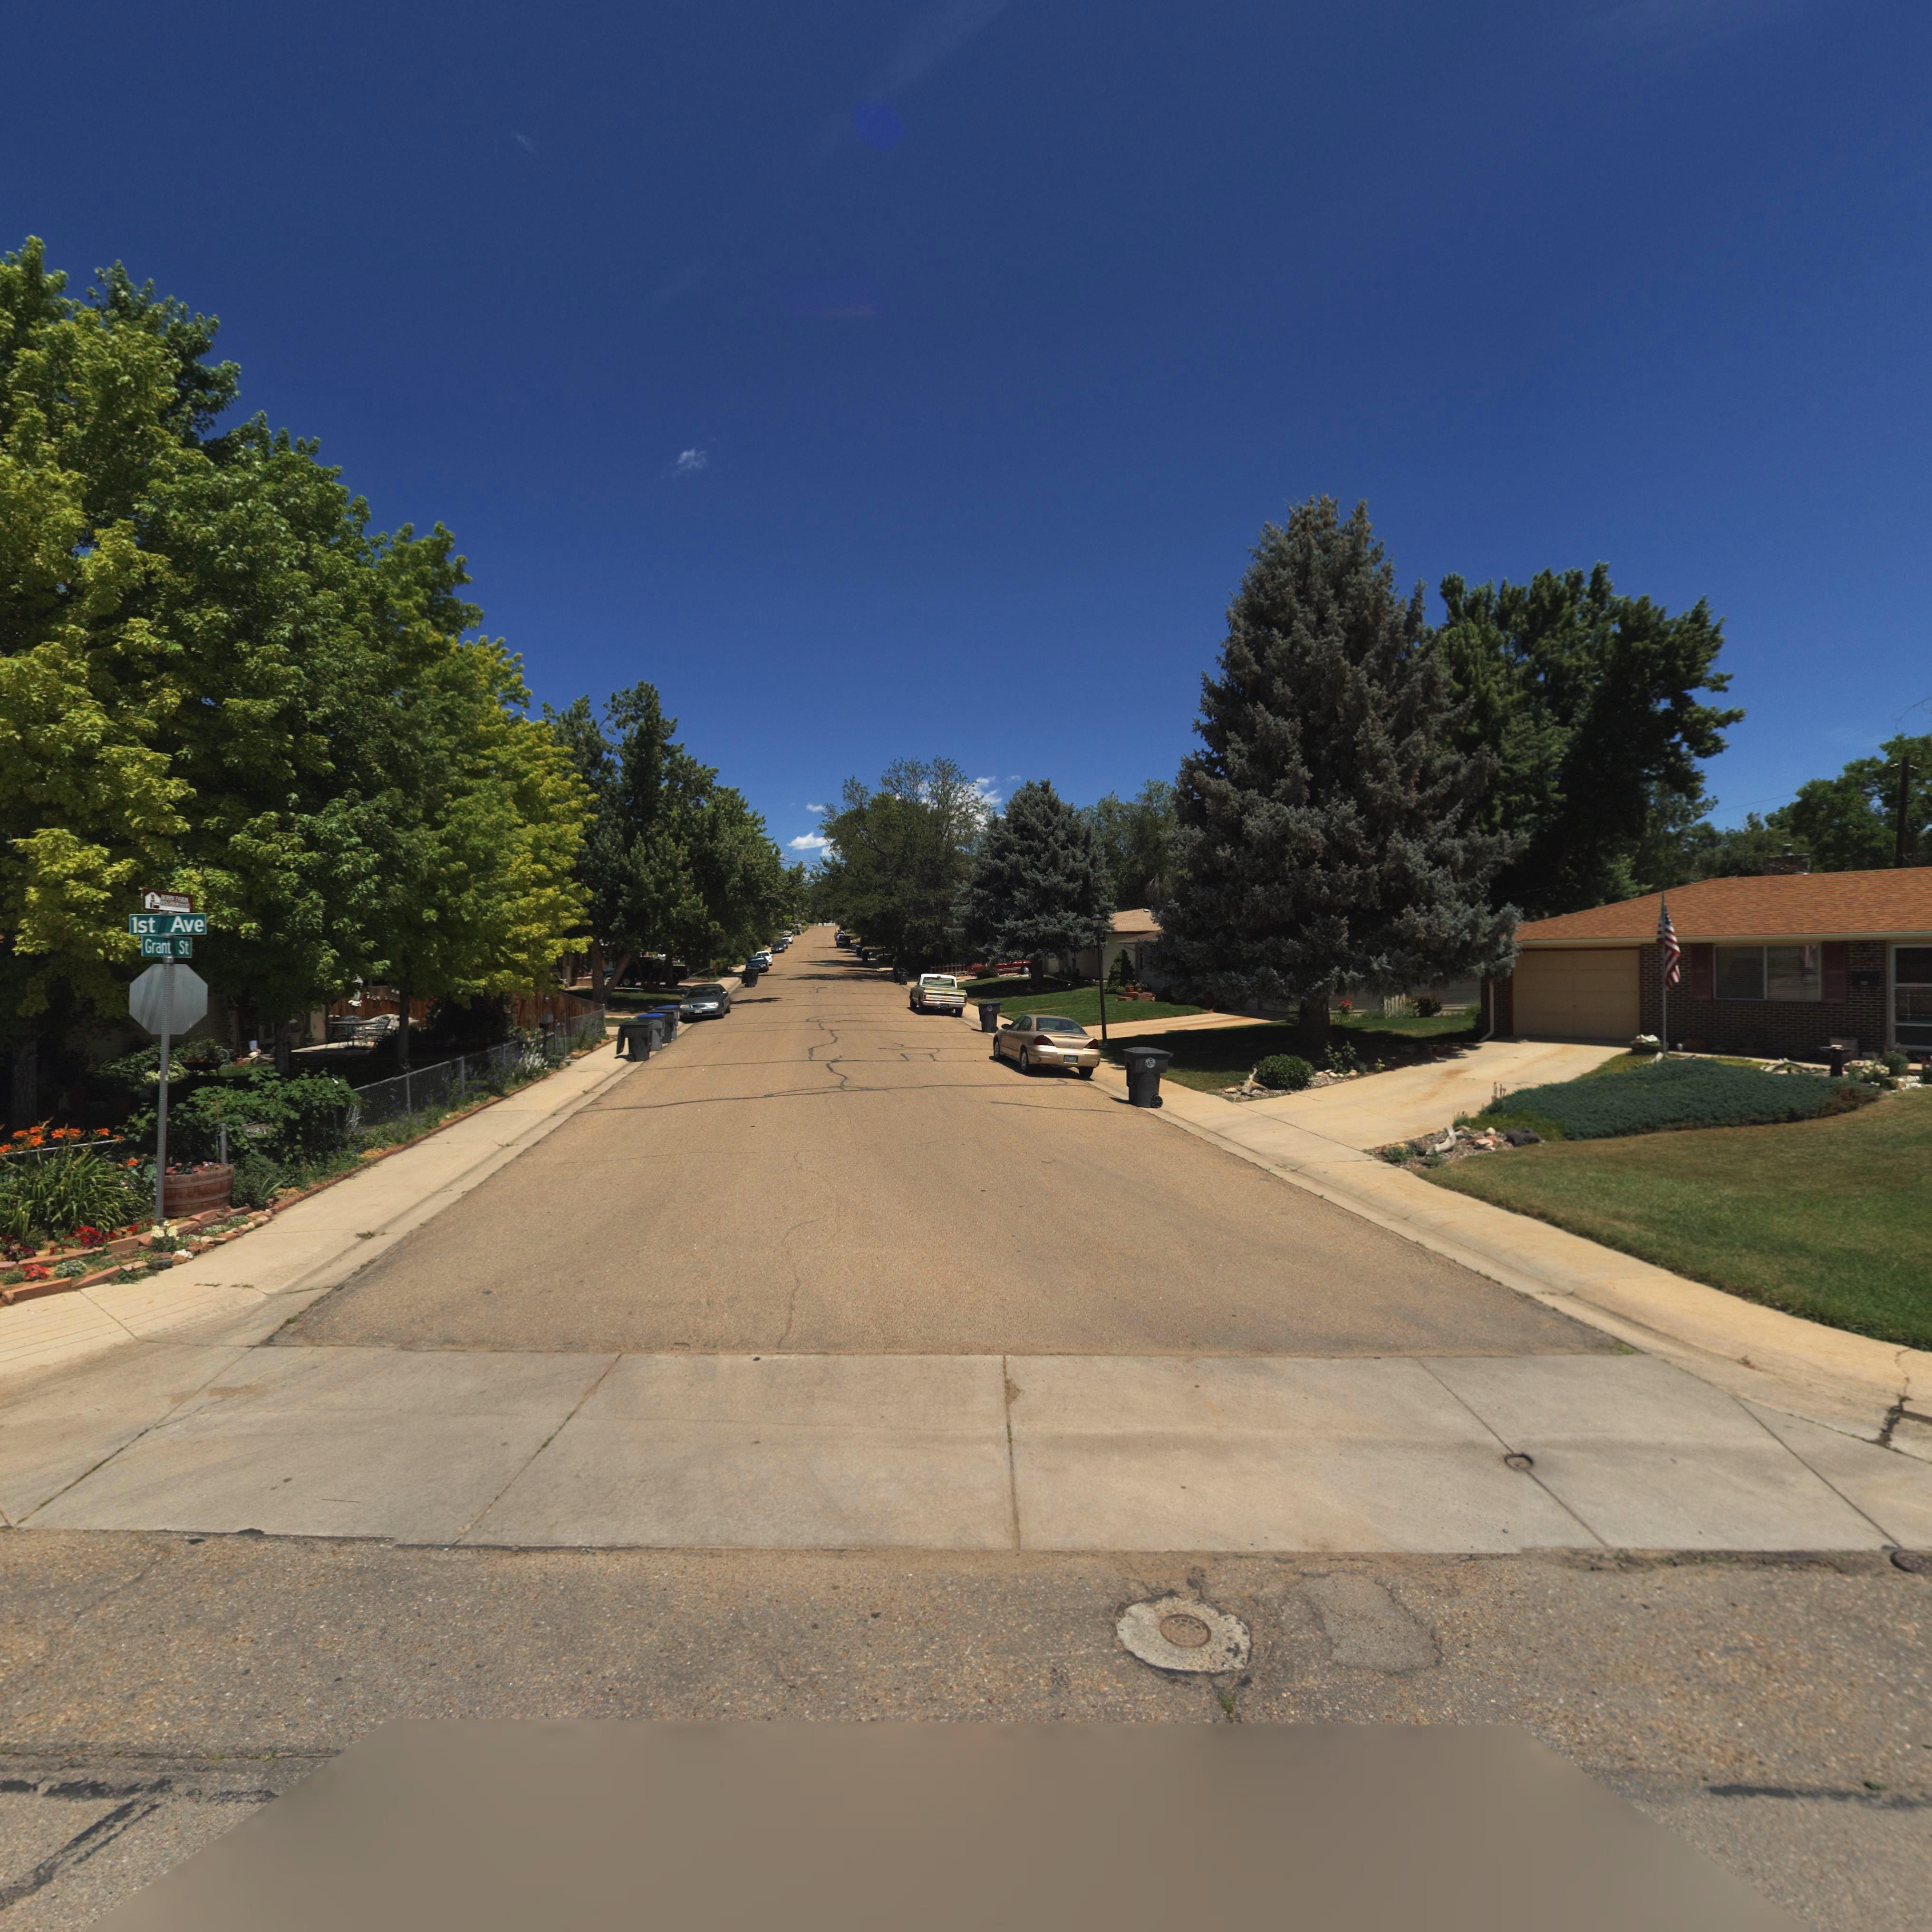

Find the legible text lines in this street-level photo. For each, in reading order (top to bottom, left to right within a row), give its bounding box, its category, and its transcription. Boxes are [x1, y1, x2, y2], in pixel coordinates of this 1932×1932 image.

[131, 915, 204, 933] StreetName: 1st Ave
[144, 938, 189, 955] StreetName: Grant St